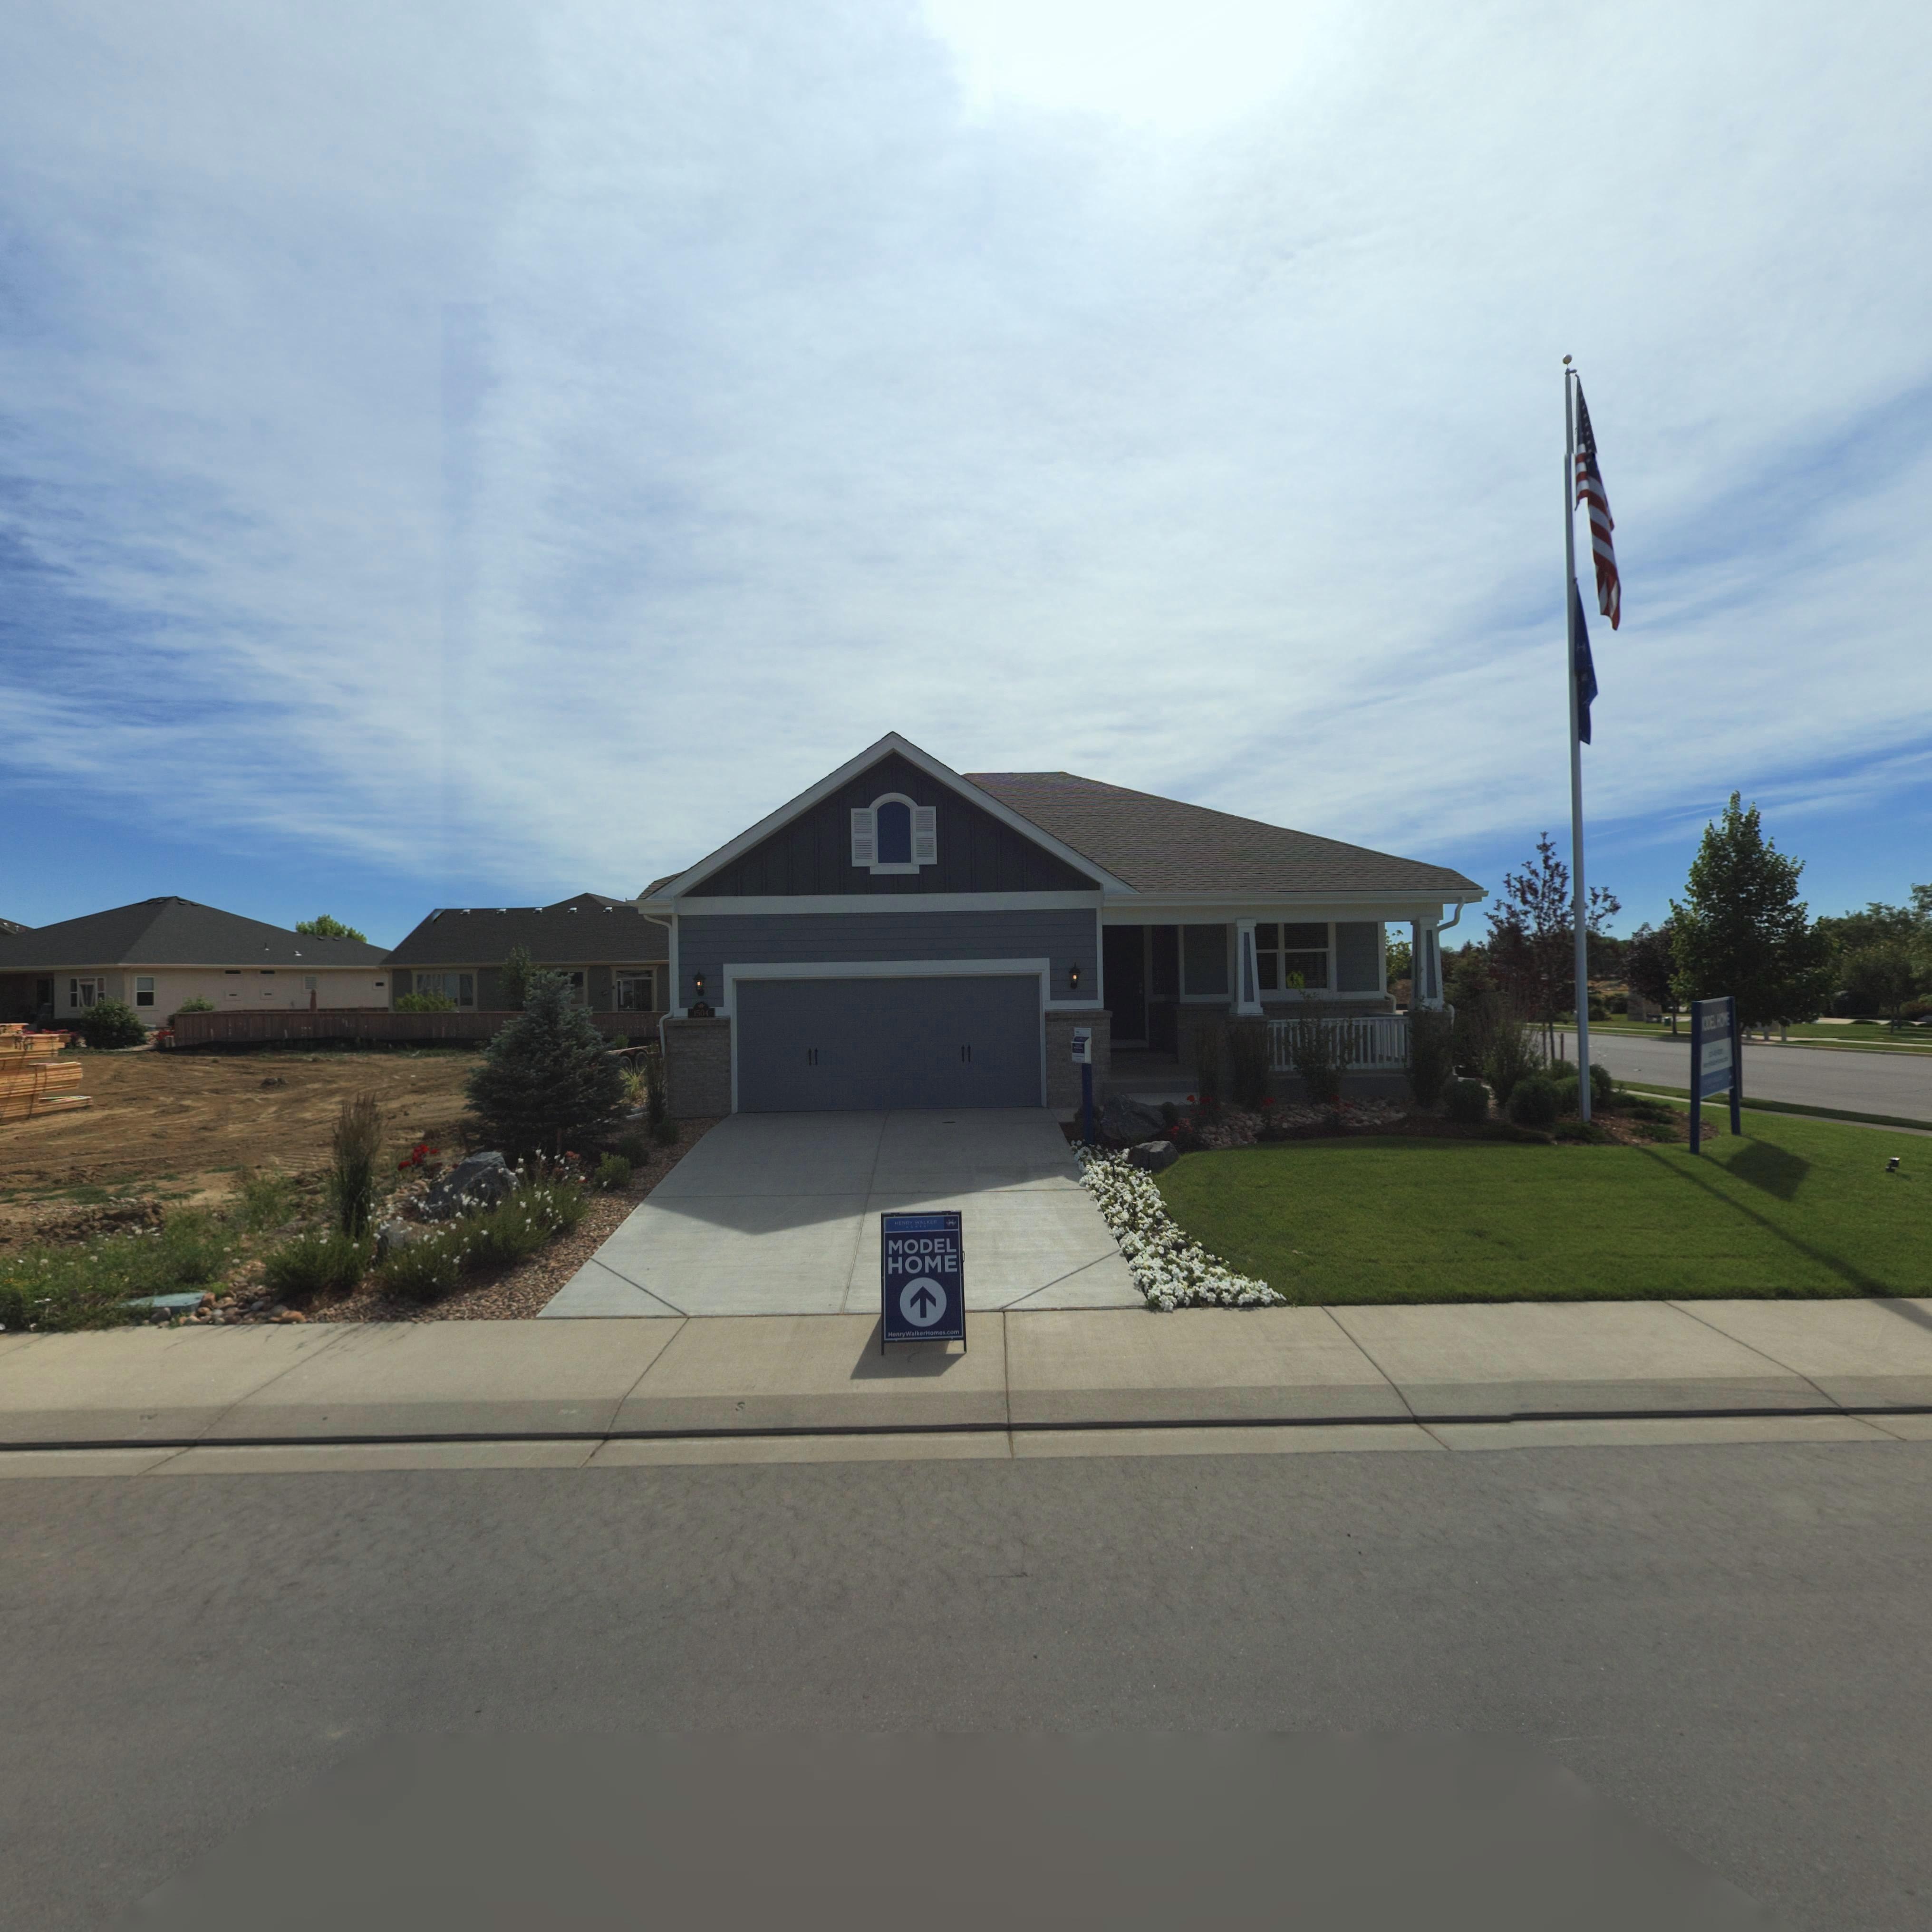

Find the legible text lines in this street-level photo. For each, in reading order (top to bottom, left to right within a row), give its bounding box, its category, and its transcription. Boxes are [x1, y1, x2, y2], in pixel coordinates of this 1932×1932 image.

[693, 1009, 709, 1017] StreetNumber: 1504